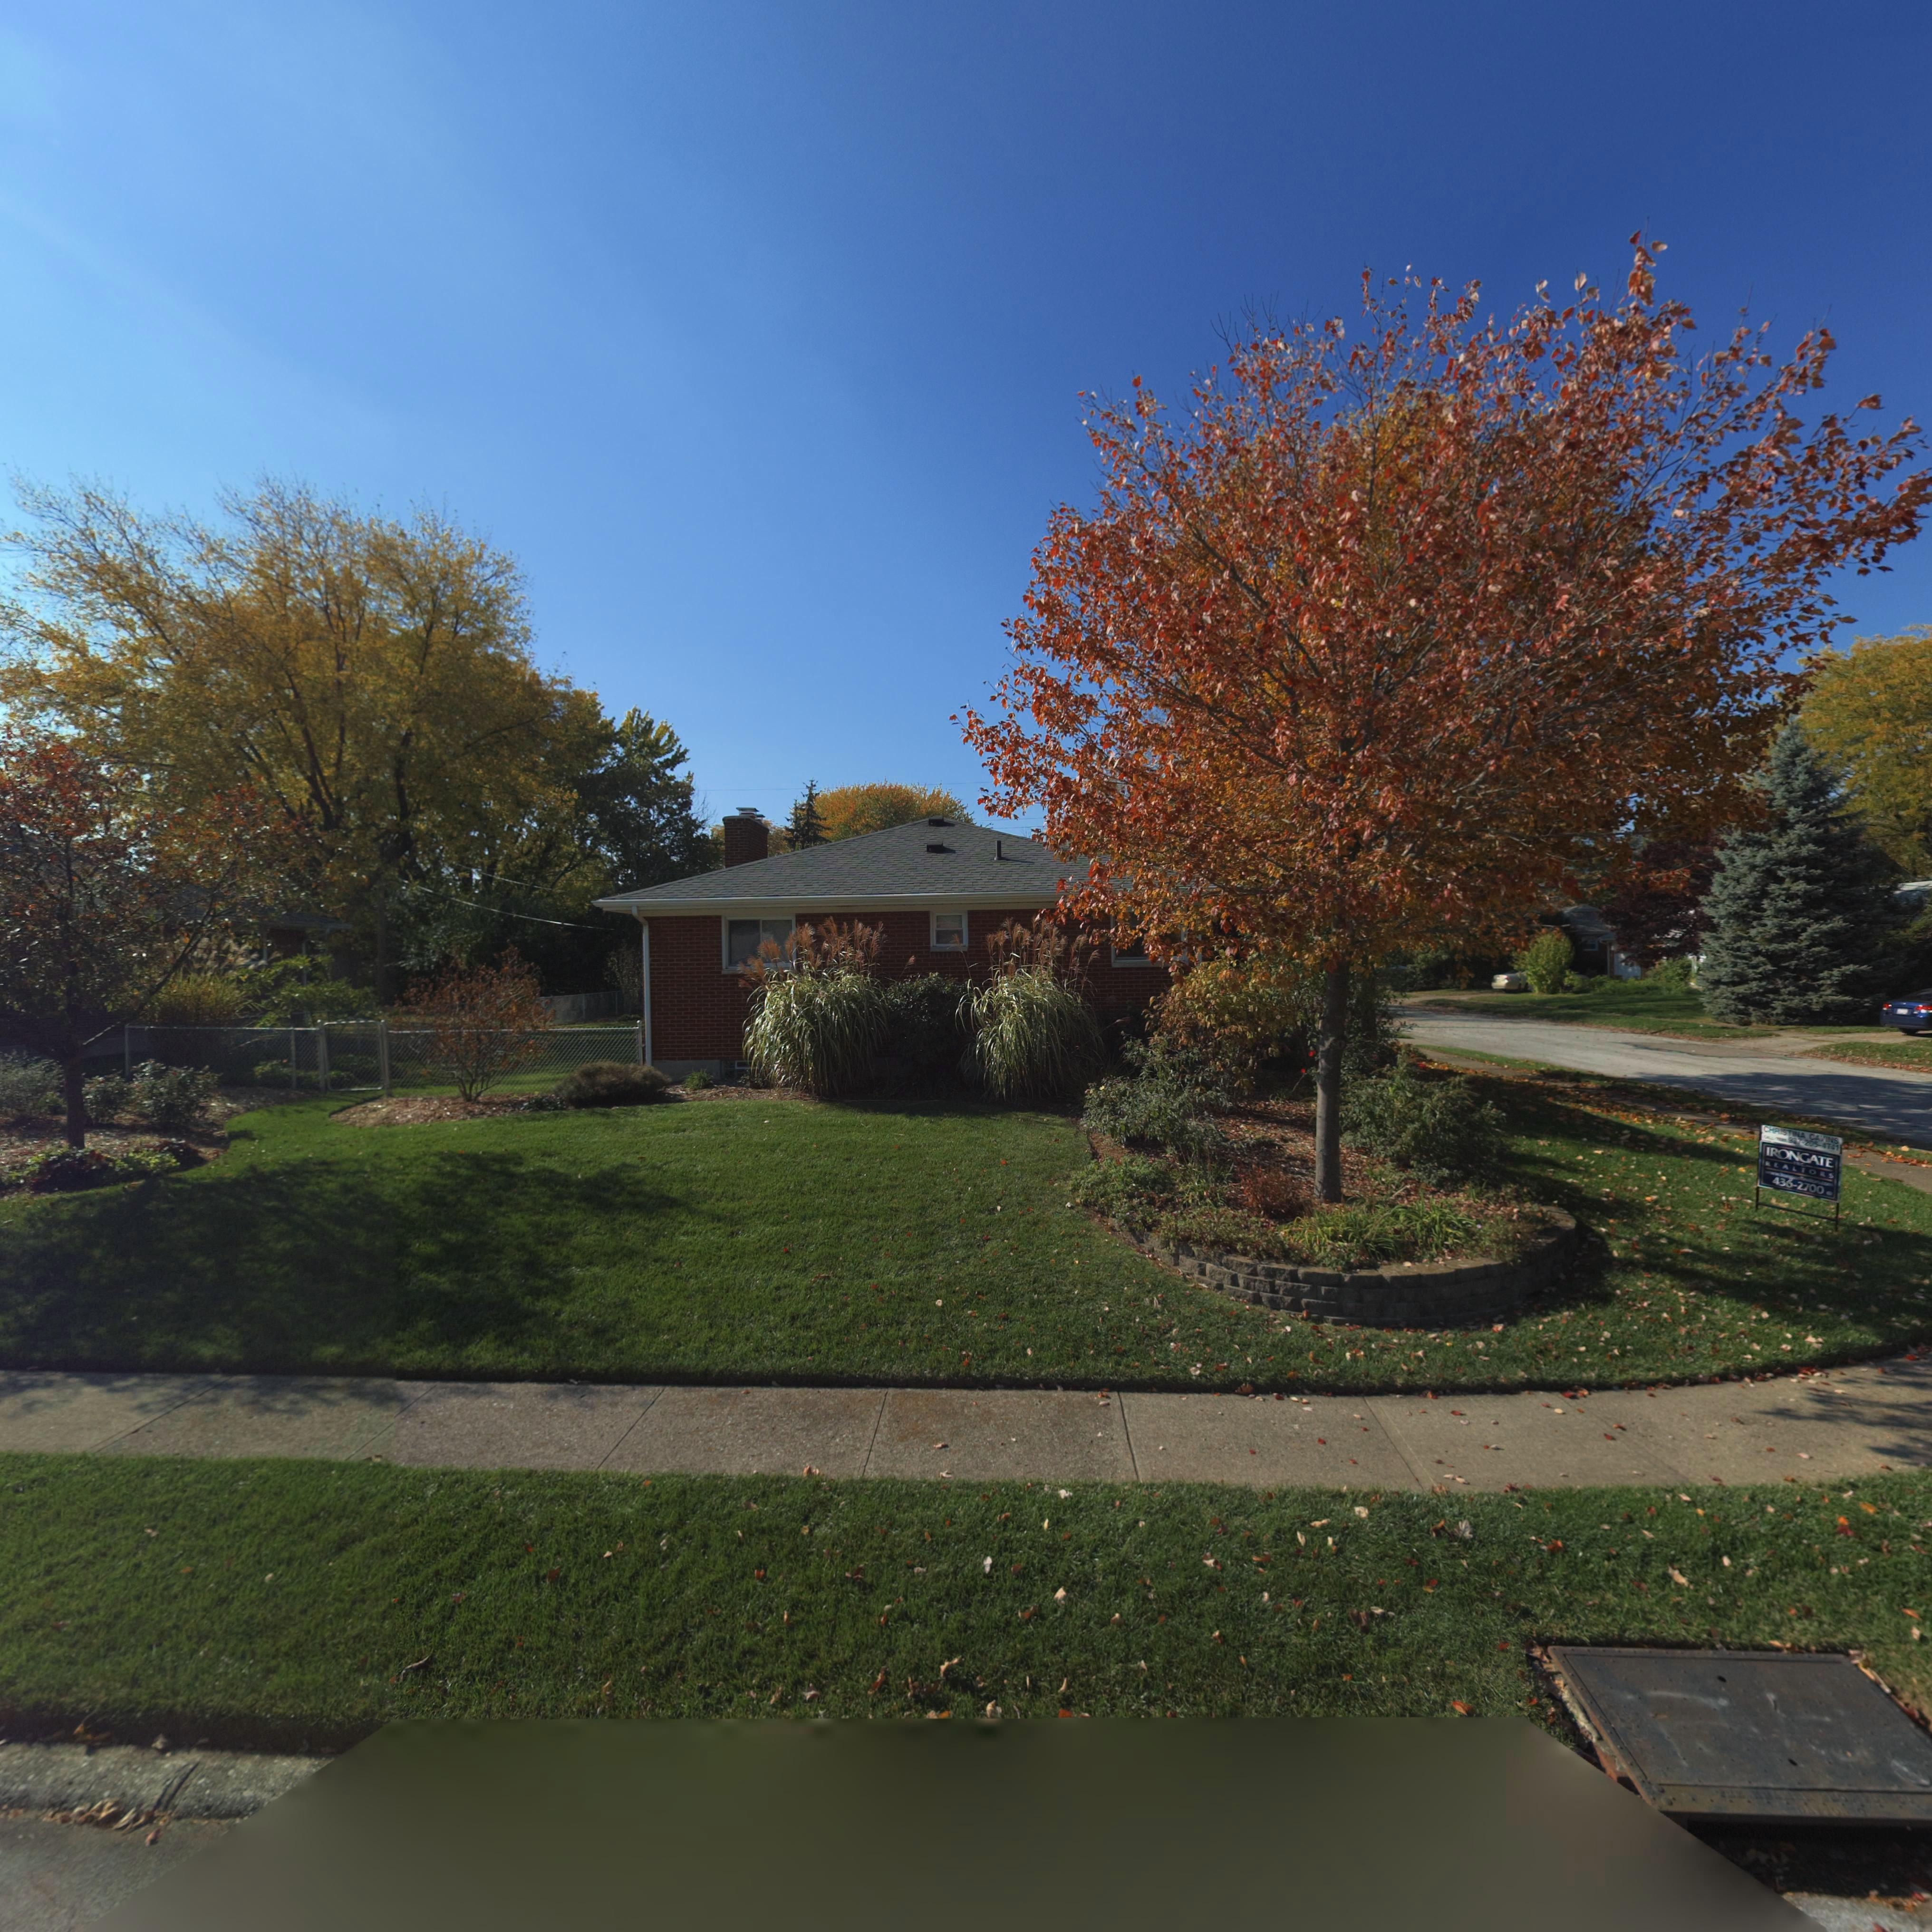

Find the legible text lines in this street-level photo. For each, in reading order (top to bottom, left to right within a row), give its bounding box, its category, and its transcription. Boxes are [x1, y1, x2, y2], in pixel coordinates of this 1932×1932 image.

[1763, 1125, 1840, 1145] None: CHRISTINA CAVINS
[1787, 1137, 1839, 1152] None: 97-205-4741
[1793, 1161, 1804, 1168] None: INC
[1765, 1159, 1834, 1179] None: REALTORS
[1765, 1146, 1835, 1169] None: IRONGATE
[1771, 1175, 1826, 1195] None: 436-2700